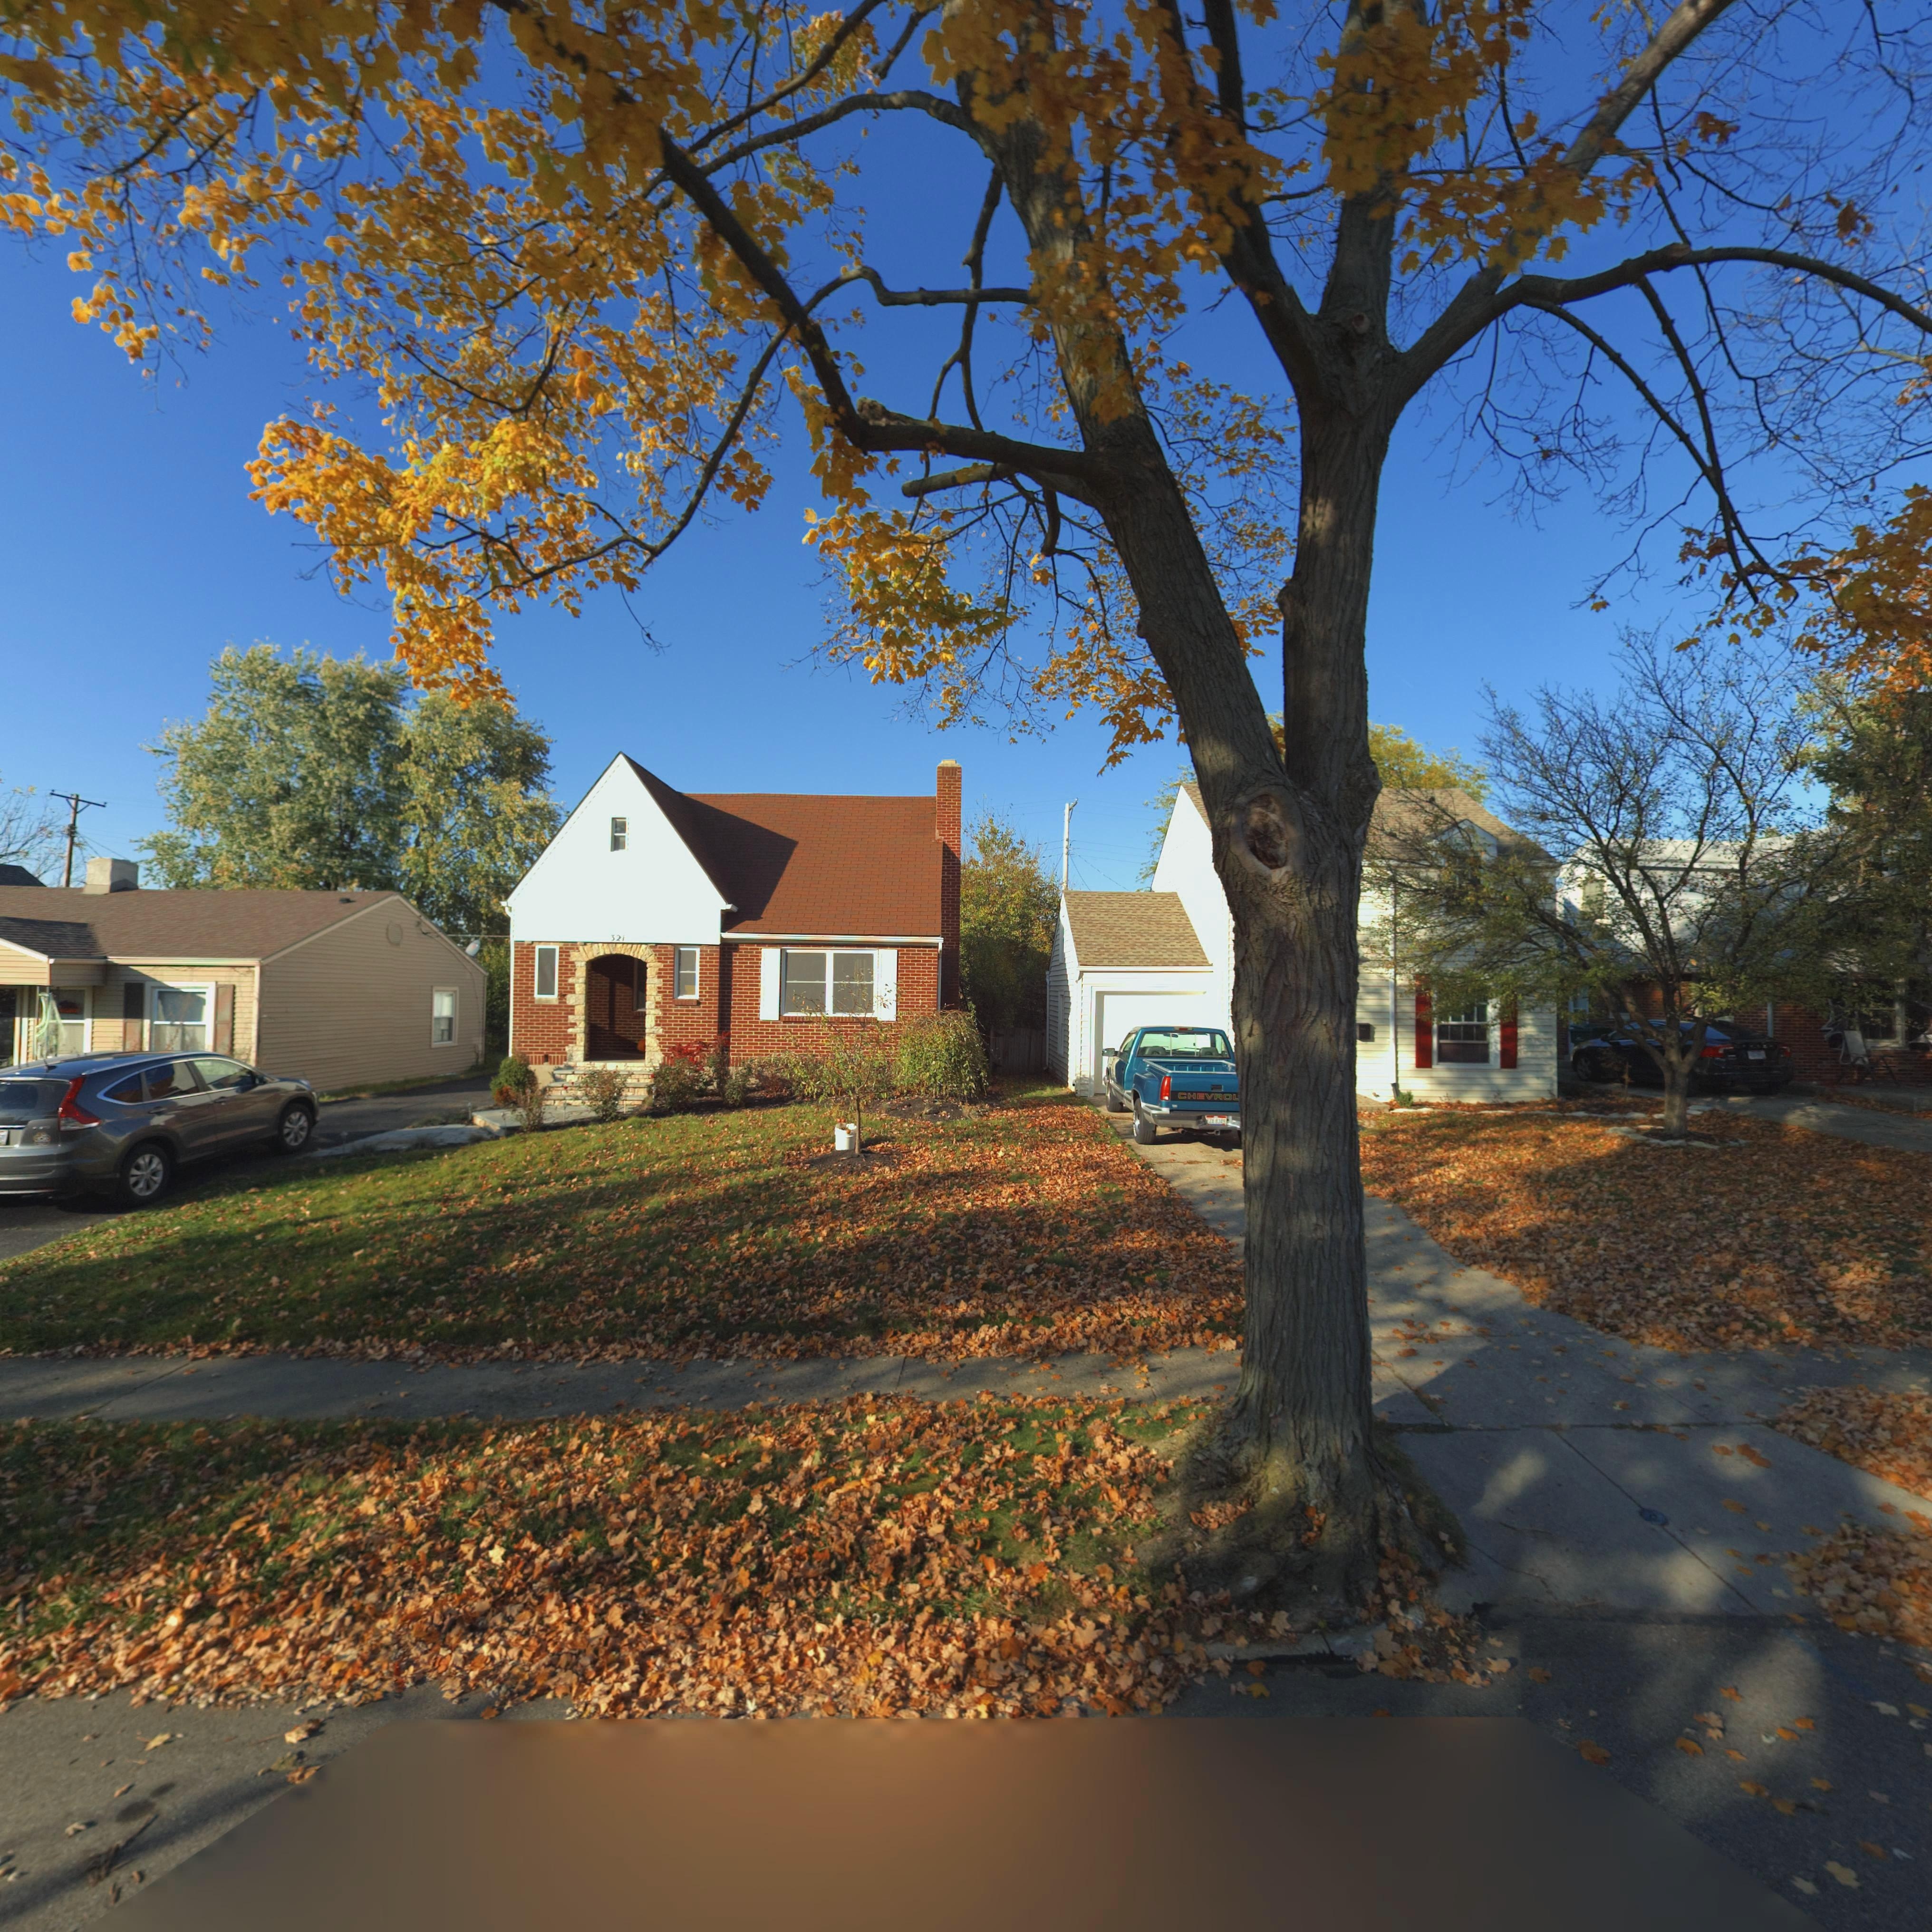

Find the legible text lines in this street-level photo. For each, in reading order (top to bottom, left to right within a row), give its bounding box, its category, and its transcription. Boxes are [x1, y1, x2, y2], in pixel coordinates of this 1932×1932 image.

[610, 934, 625, 942] StreetNumber: 321